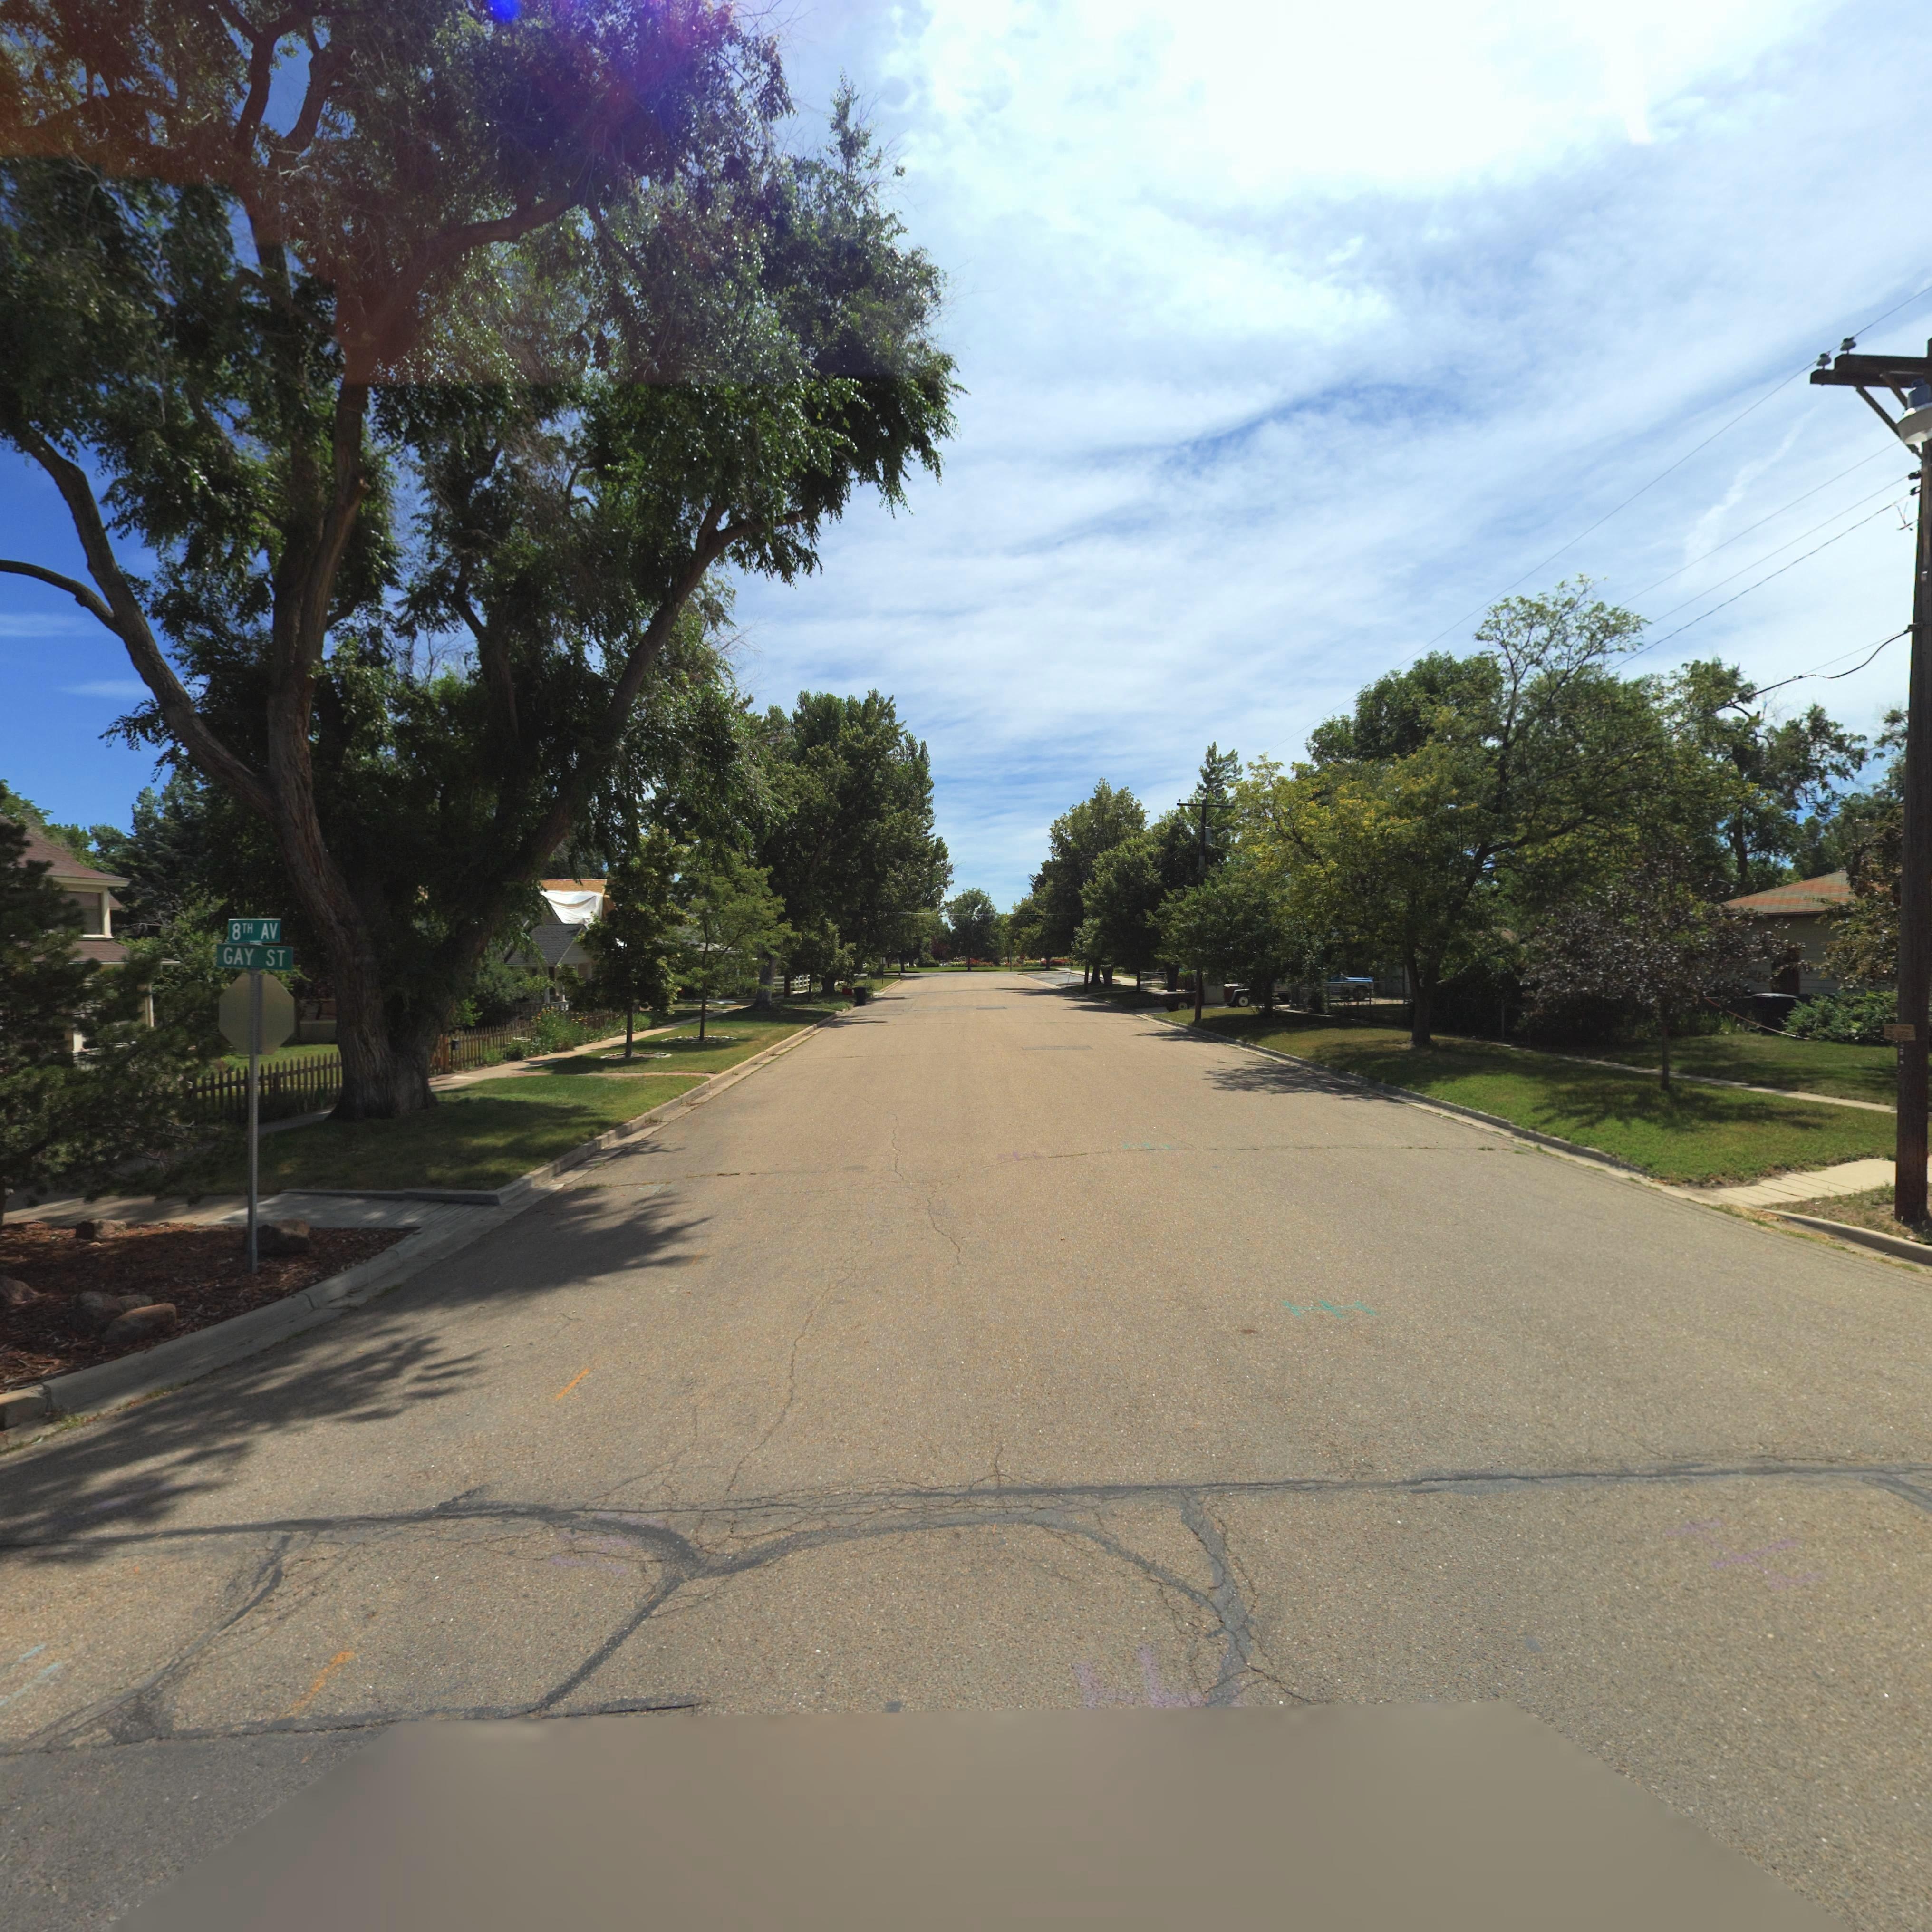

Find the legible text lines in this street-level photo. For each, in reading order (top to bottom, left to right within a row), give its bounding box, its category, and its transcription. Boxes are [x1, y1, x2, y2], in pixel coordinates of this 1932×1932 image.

[230, 921, 279, 941] StreetName: 8TH AV
[223, 947, 286, 967] StreetName: GAY ST